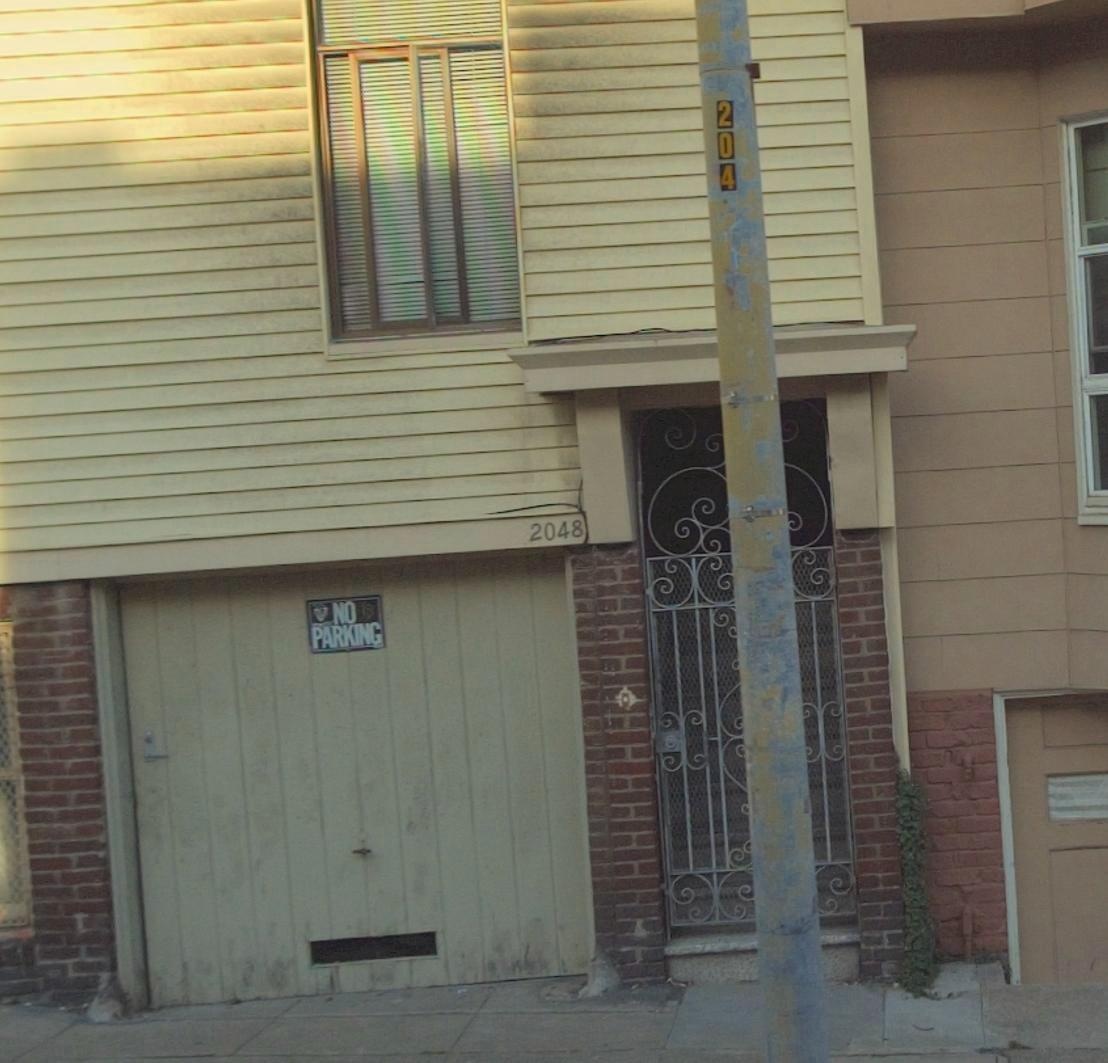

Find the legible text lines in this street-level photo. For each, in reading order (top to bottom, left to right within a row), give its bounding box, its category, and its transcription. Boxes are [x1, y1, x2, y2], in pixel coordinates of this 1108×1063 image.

[716, 99, 736, 192] None: 204
[527, 517, 585, 543] StreetNumber: 2048
[329, 598, 359, 627] None: NO
[310, 619, 384, 651] None: PARKING